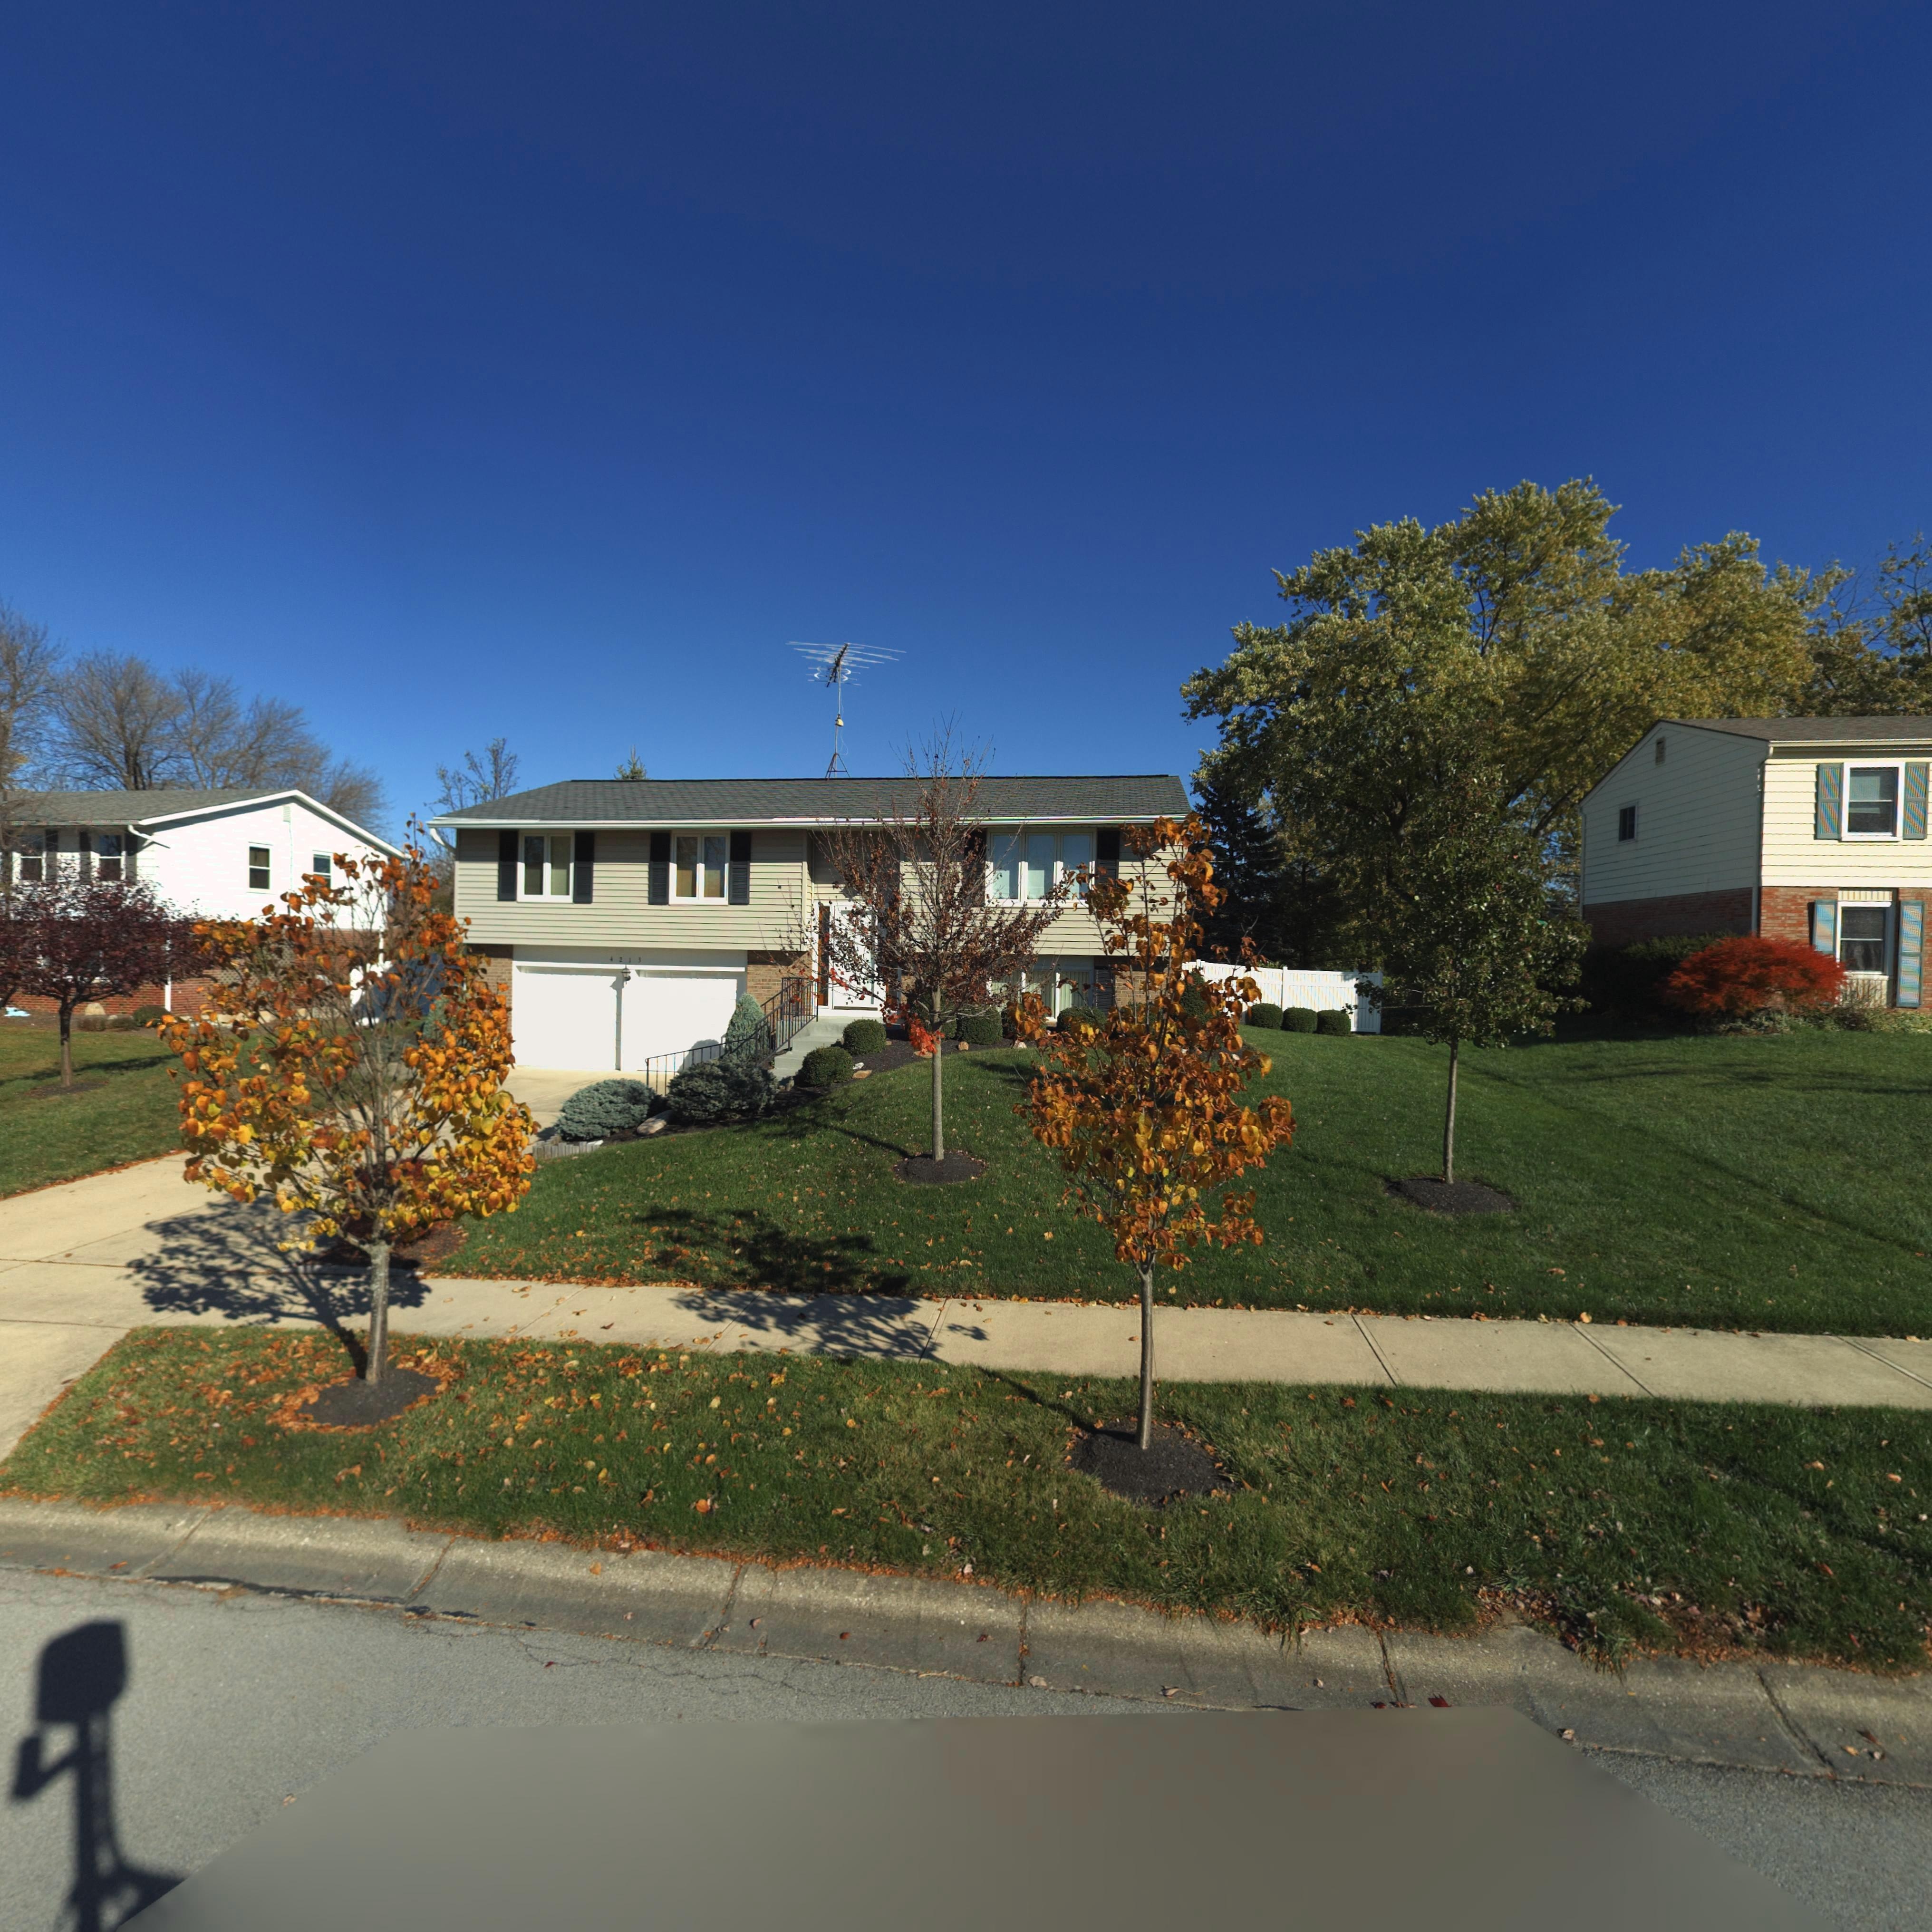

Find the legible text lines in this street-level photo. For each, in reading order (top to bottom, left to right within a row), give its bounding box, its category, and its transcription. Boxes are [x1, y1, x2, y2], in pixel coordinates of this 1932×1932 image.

[608, 955, 642, 964] StreetNumber: 4213